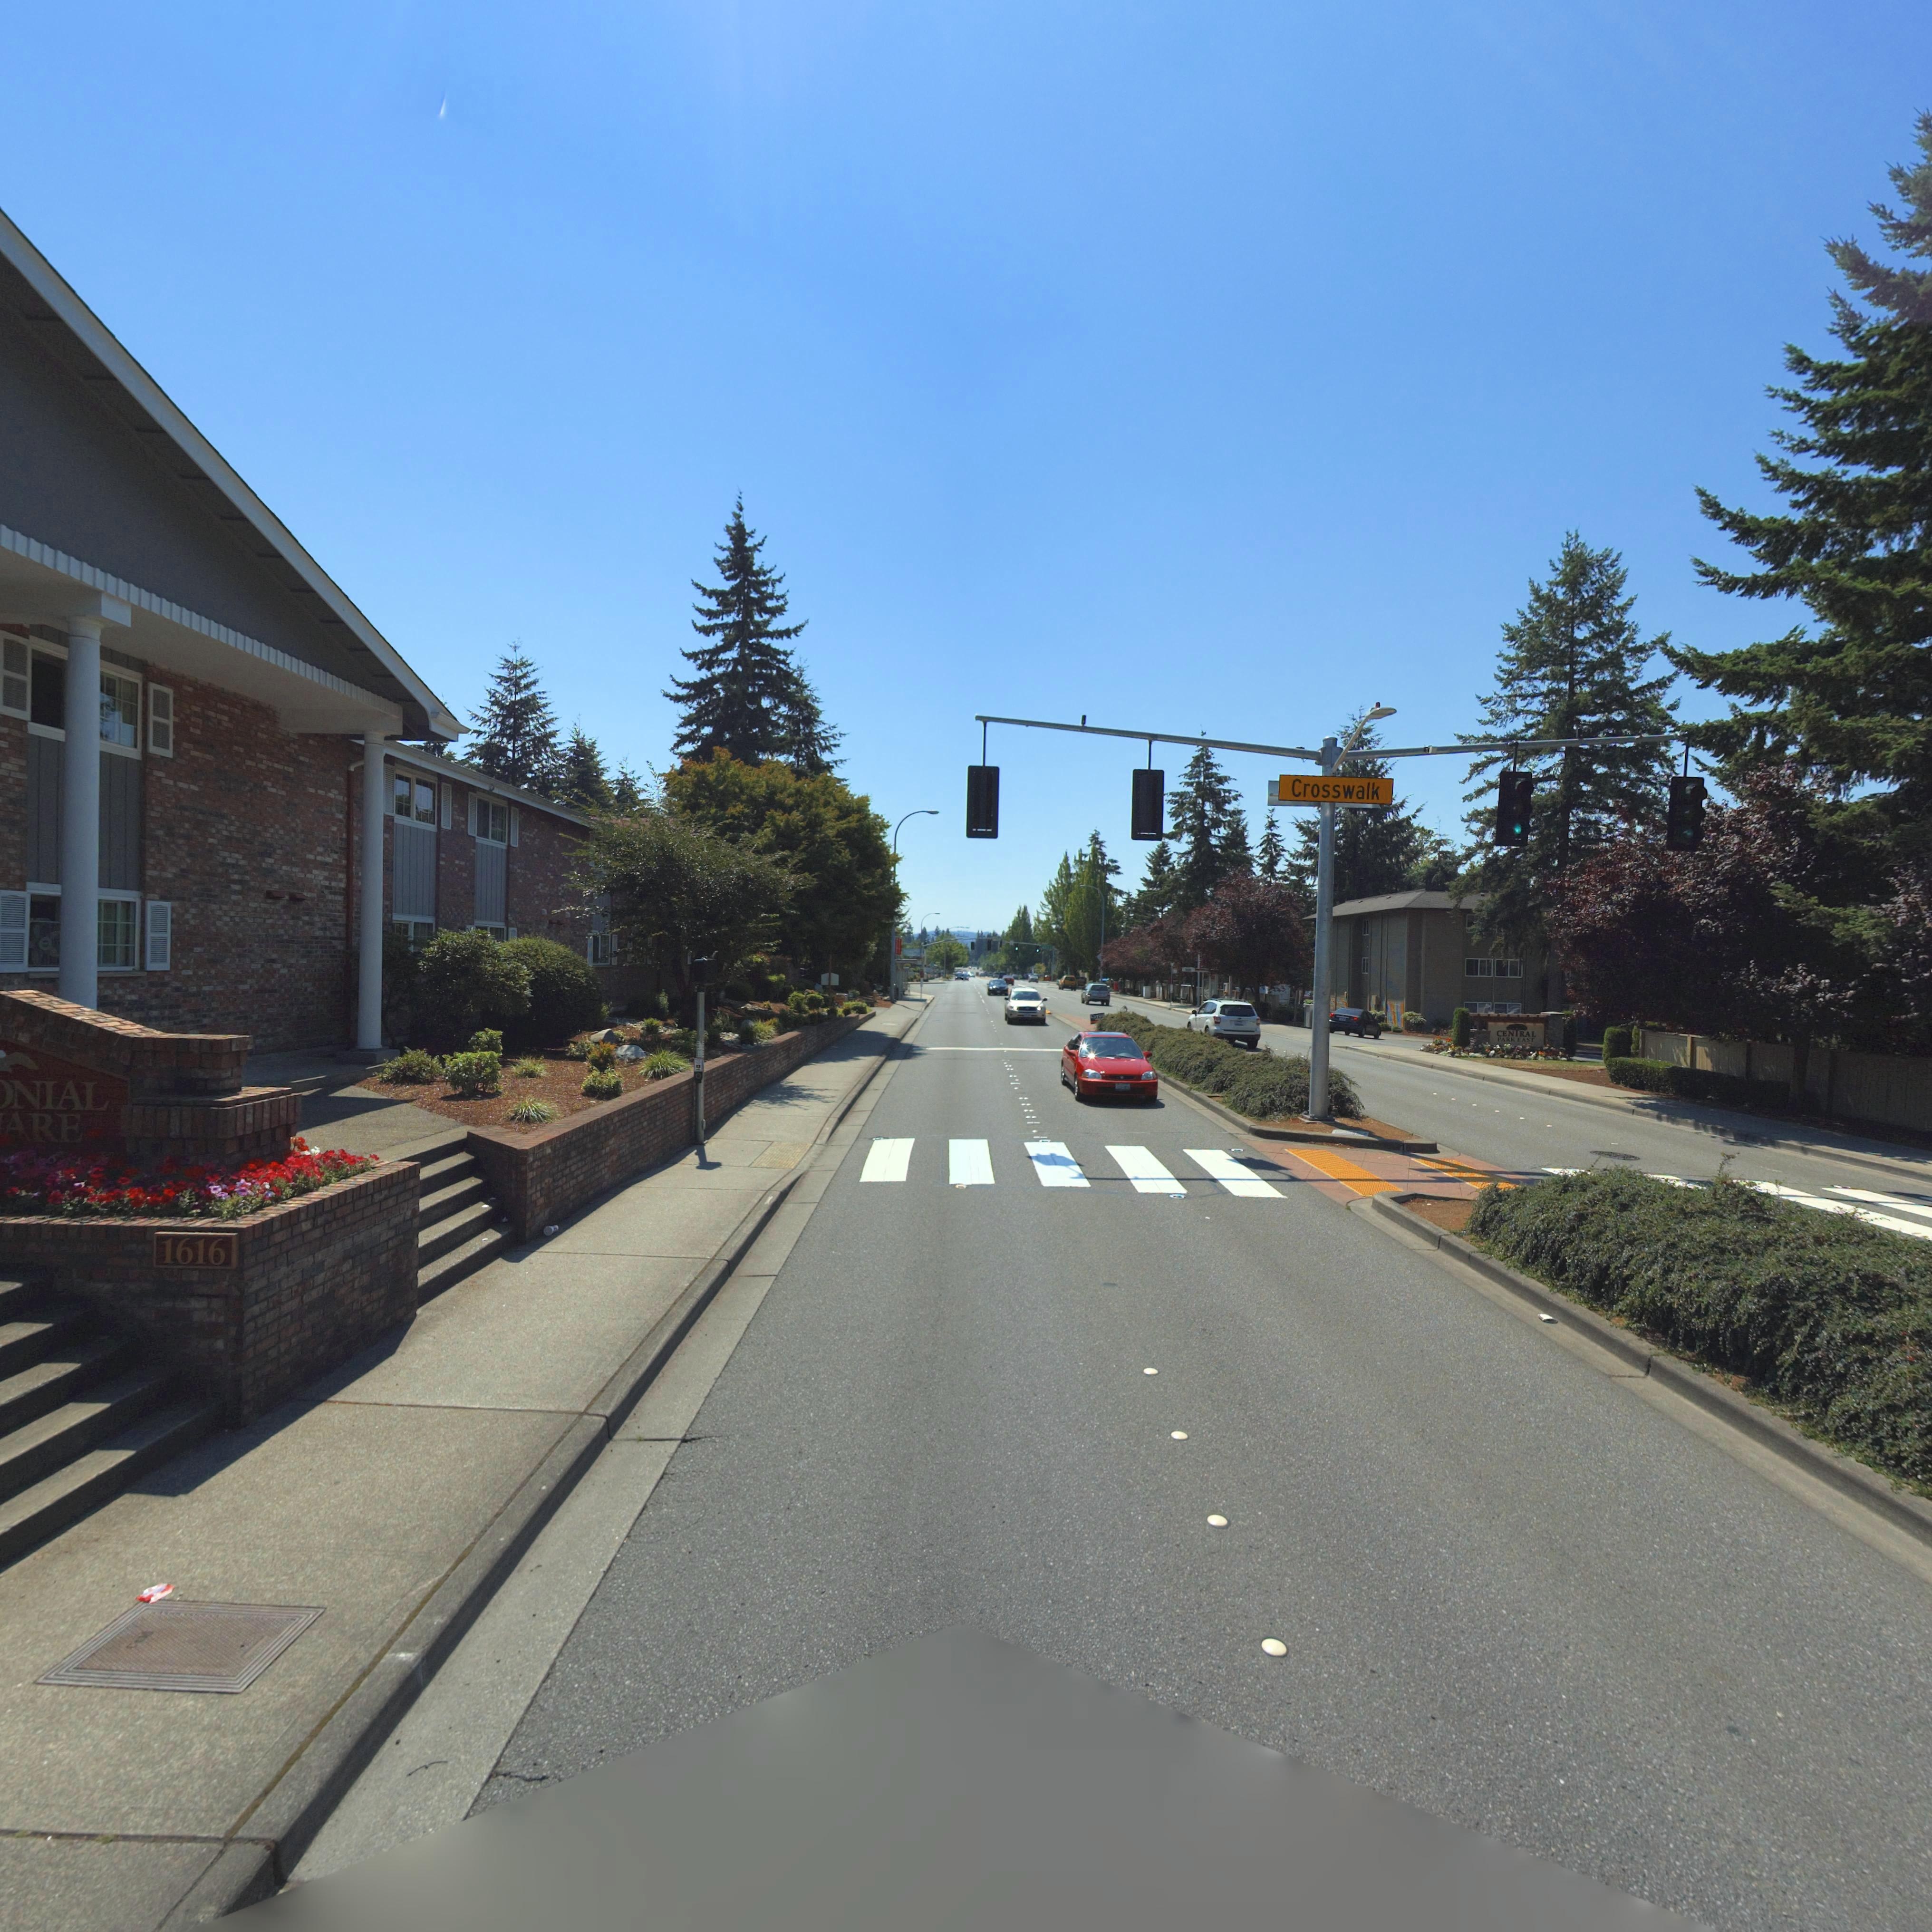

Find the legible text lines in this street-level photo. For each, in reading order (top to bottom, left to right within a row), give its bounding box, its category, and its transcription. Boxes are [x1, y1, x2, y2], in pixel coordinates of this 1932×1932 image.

[1497, 1037, 1534, 1042] BusinessName: PARK EAST
[1497, 1024, 1536, 1037] None: CEN*RAL
[0, 1081, 109, 1111] BusinessName: *NIAL
[1, 1113, 81, 1141] BusinessName: *RE
[162, 1238, 225, 1265] StreetNumber: 1616